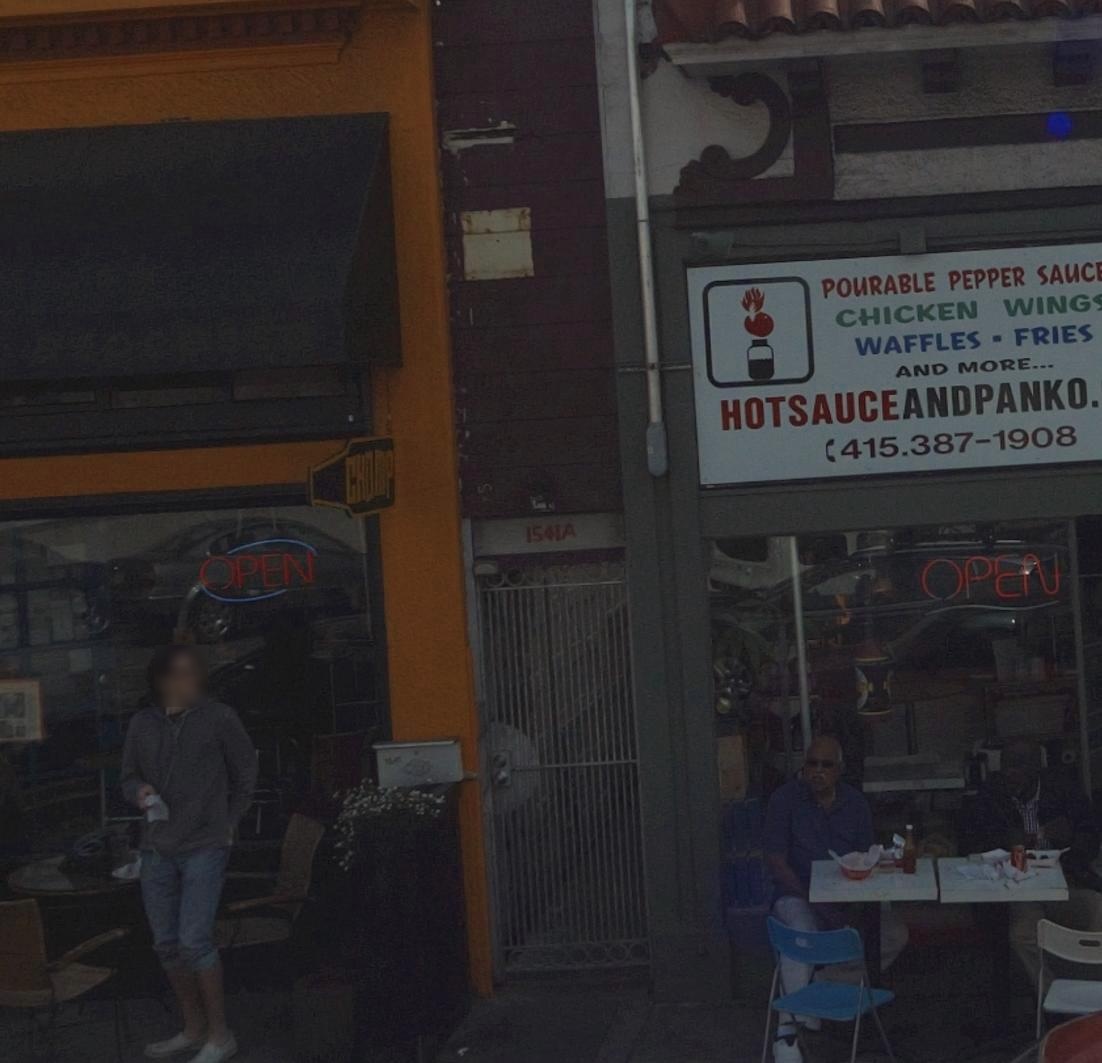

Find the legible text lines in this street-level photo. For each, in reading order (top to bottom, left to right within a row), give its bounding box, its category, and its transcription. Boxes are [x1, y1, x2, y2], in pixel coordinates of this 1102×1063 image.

[819, 260, 1096, 301] None: POURABLE PEPPER SAUC
[834, 293, 1092, 329] None: CHICKEN WING
[852, 322, 1093, 356] None: WAFFLES * FRIES
[892, 357, 1056, 379] None: AND MORE...
[719, 376, 1089, 433] None: HOTSAUCEANDPANKO
[838, 424, 1077, 460] None: 415.387-1908
[343, 448, 395, 505] BusinessName: CHOMP
[525, 522, 580, 545] StreetNumber: 1541A
[198, 550, 315, 593] None: OPEN
[919, 551, 1060, 603] None: OPEN